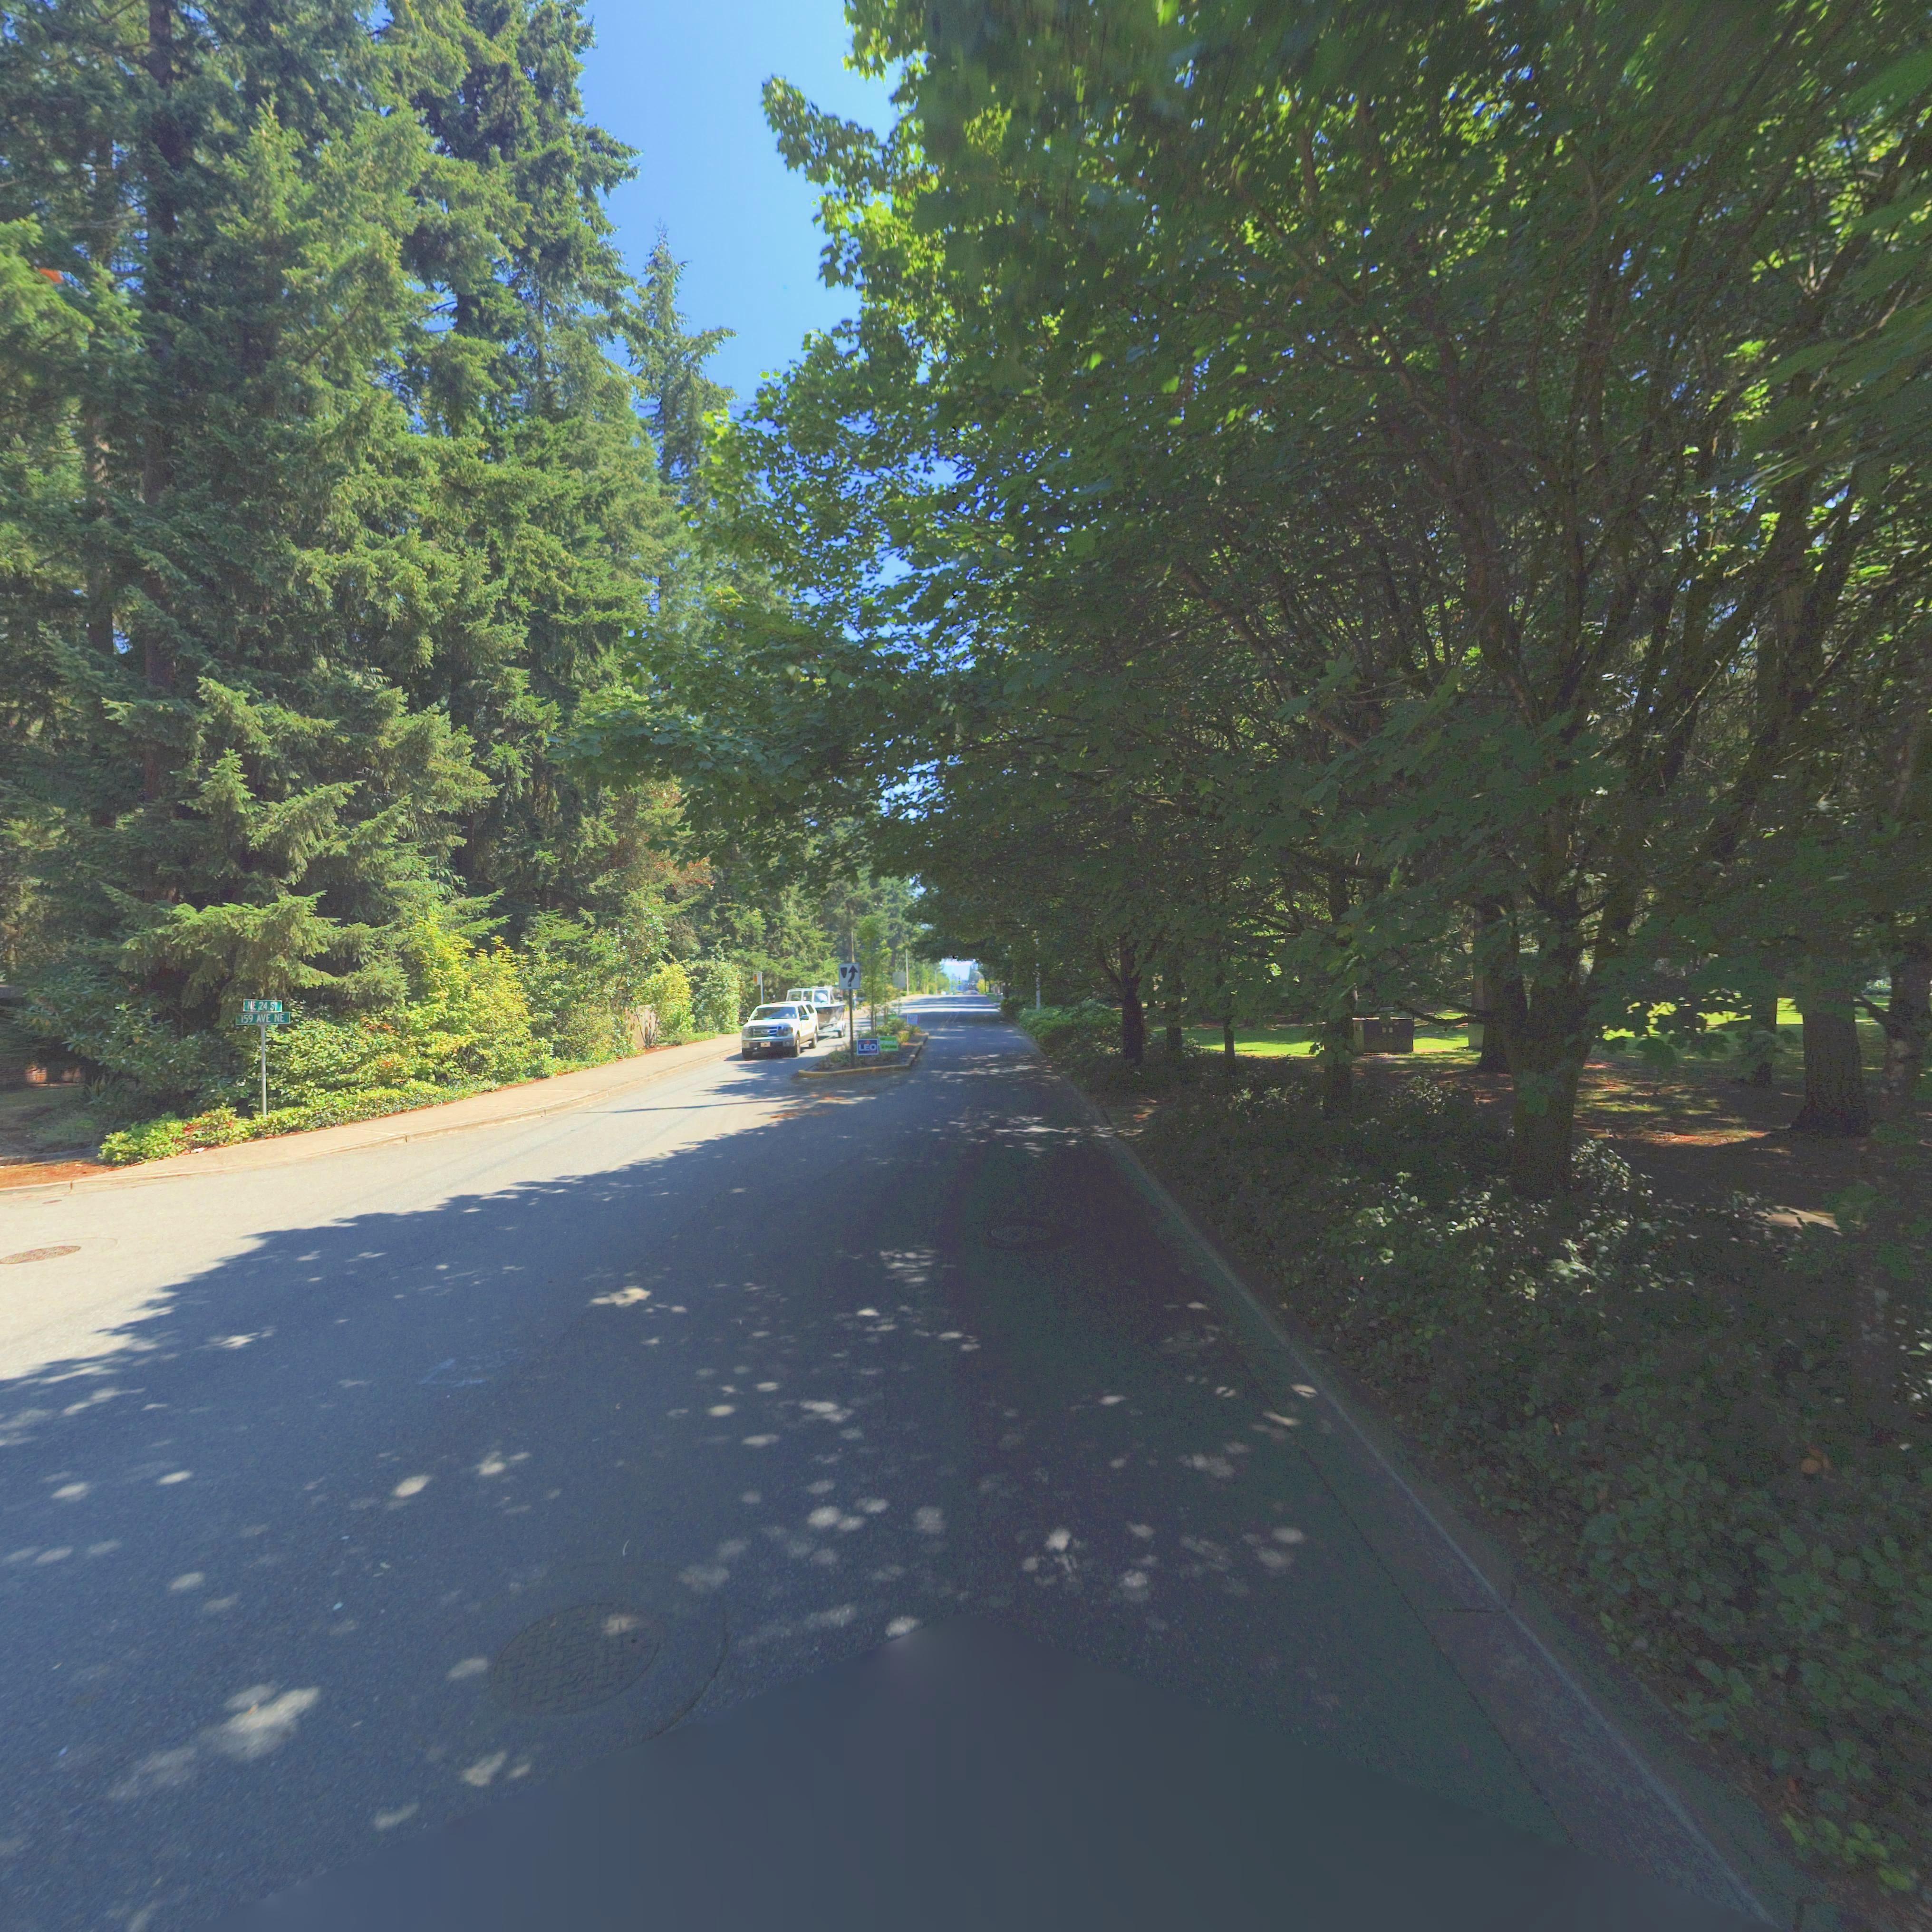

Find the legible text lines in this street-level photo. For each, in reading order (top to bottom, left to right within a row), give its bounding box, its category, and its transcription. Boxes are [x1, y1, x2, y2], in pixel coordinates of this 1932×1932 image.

[241, 1014, 284, 1023] StreetName: 159 AVE NE